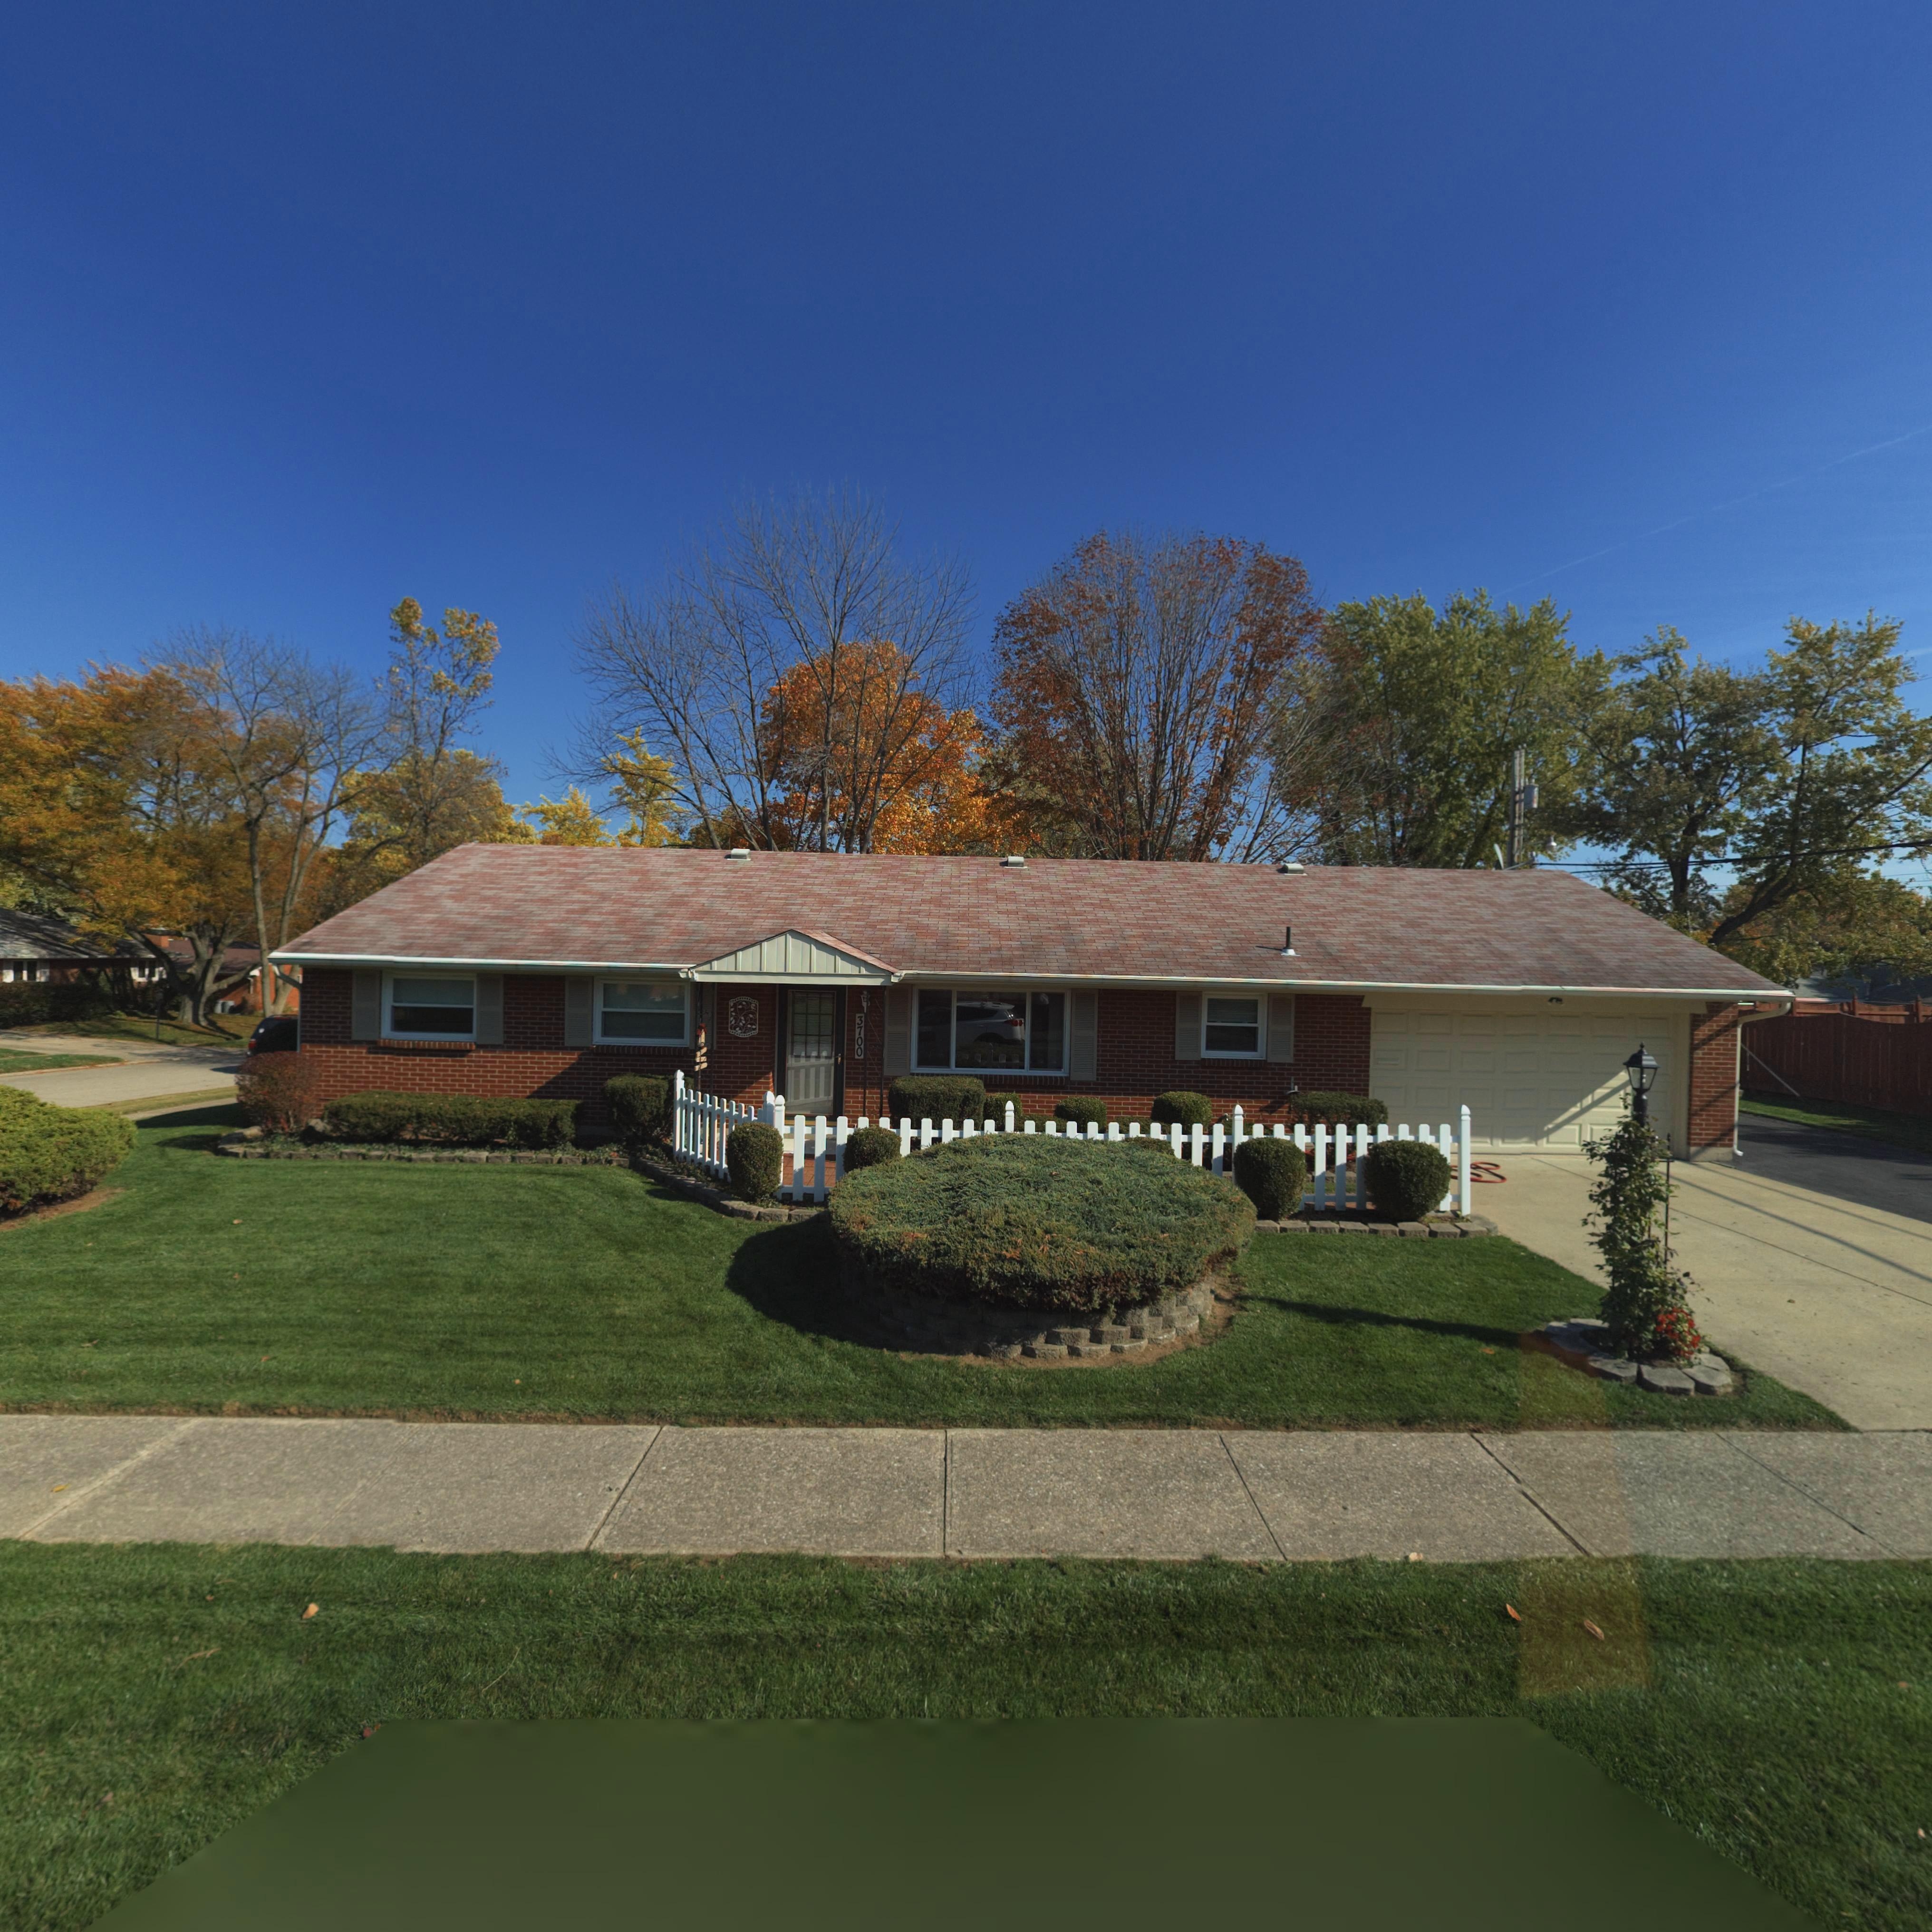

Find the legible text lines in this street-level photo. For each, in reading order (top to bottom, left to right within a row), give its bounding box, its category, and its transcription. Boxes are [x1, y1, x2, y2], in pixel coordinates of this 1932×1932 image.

[855, 1014, 864, 1058] StreetNumber: 3700